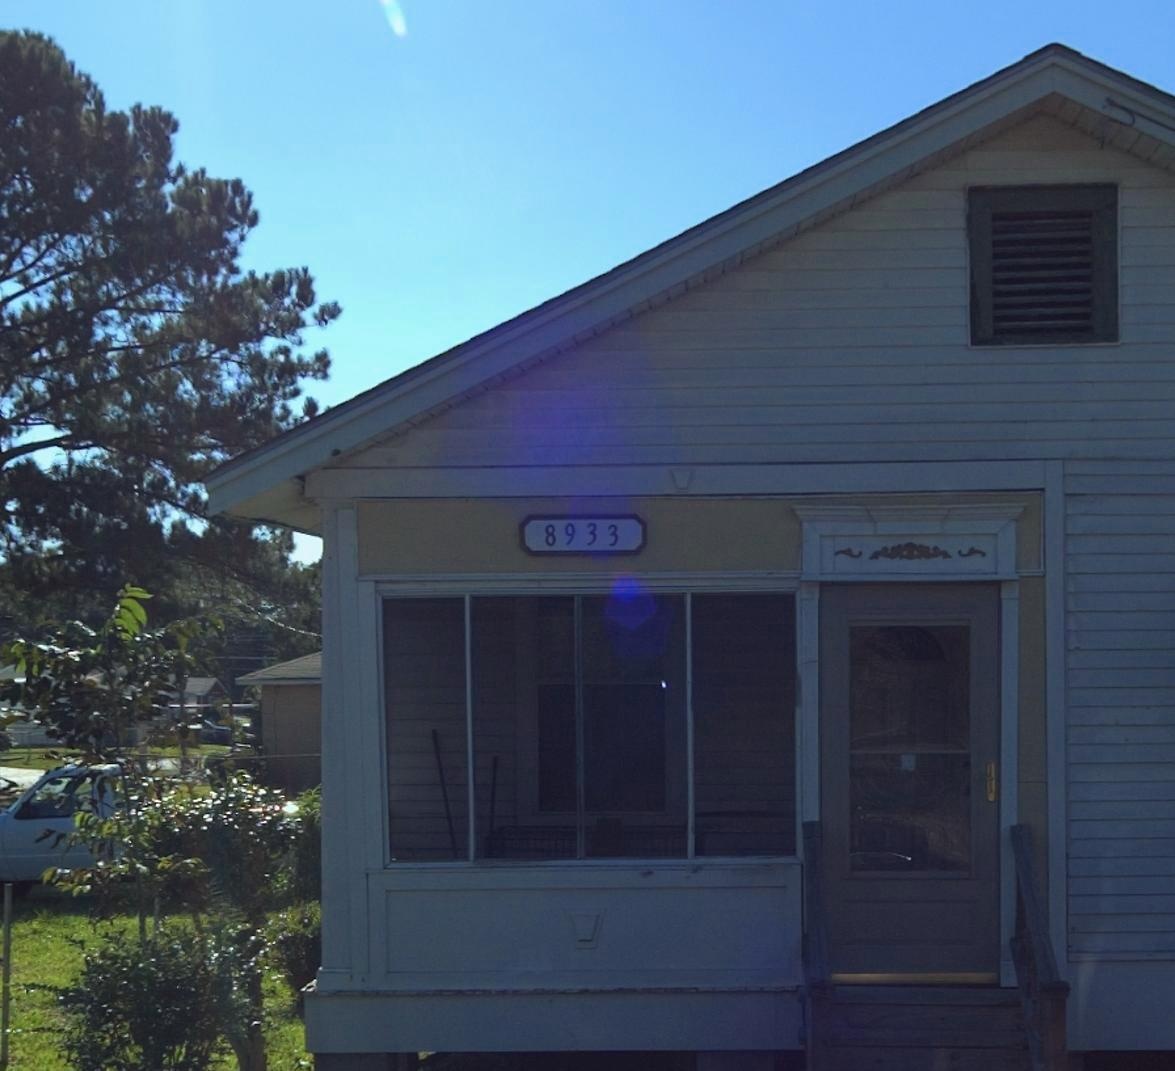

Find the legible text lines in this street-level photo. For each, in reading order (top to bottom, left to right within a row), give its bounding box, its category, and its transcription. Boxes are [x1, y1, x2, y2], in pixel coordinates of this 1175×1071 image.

[543, 522, 620, 548] StreetNumber: 8933